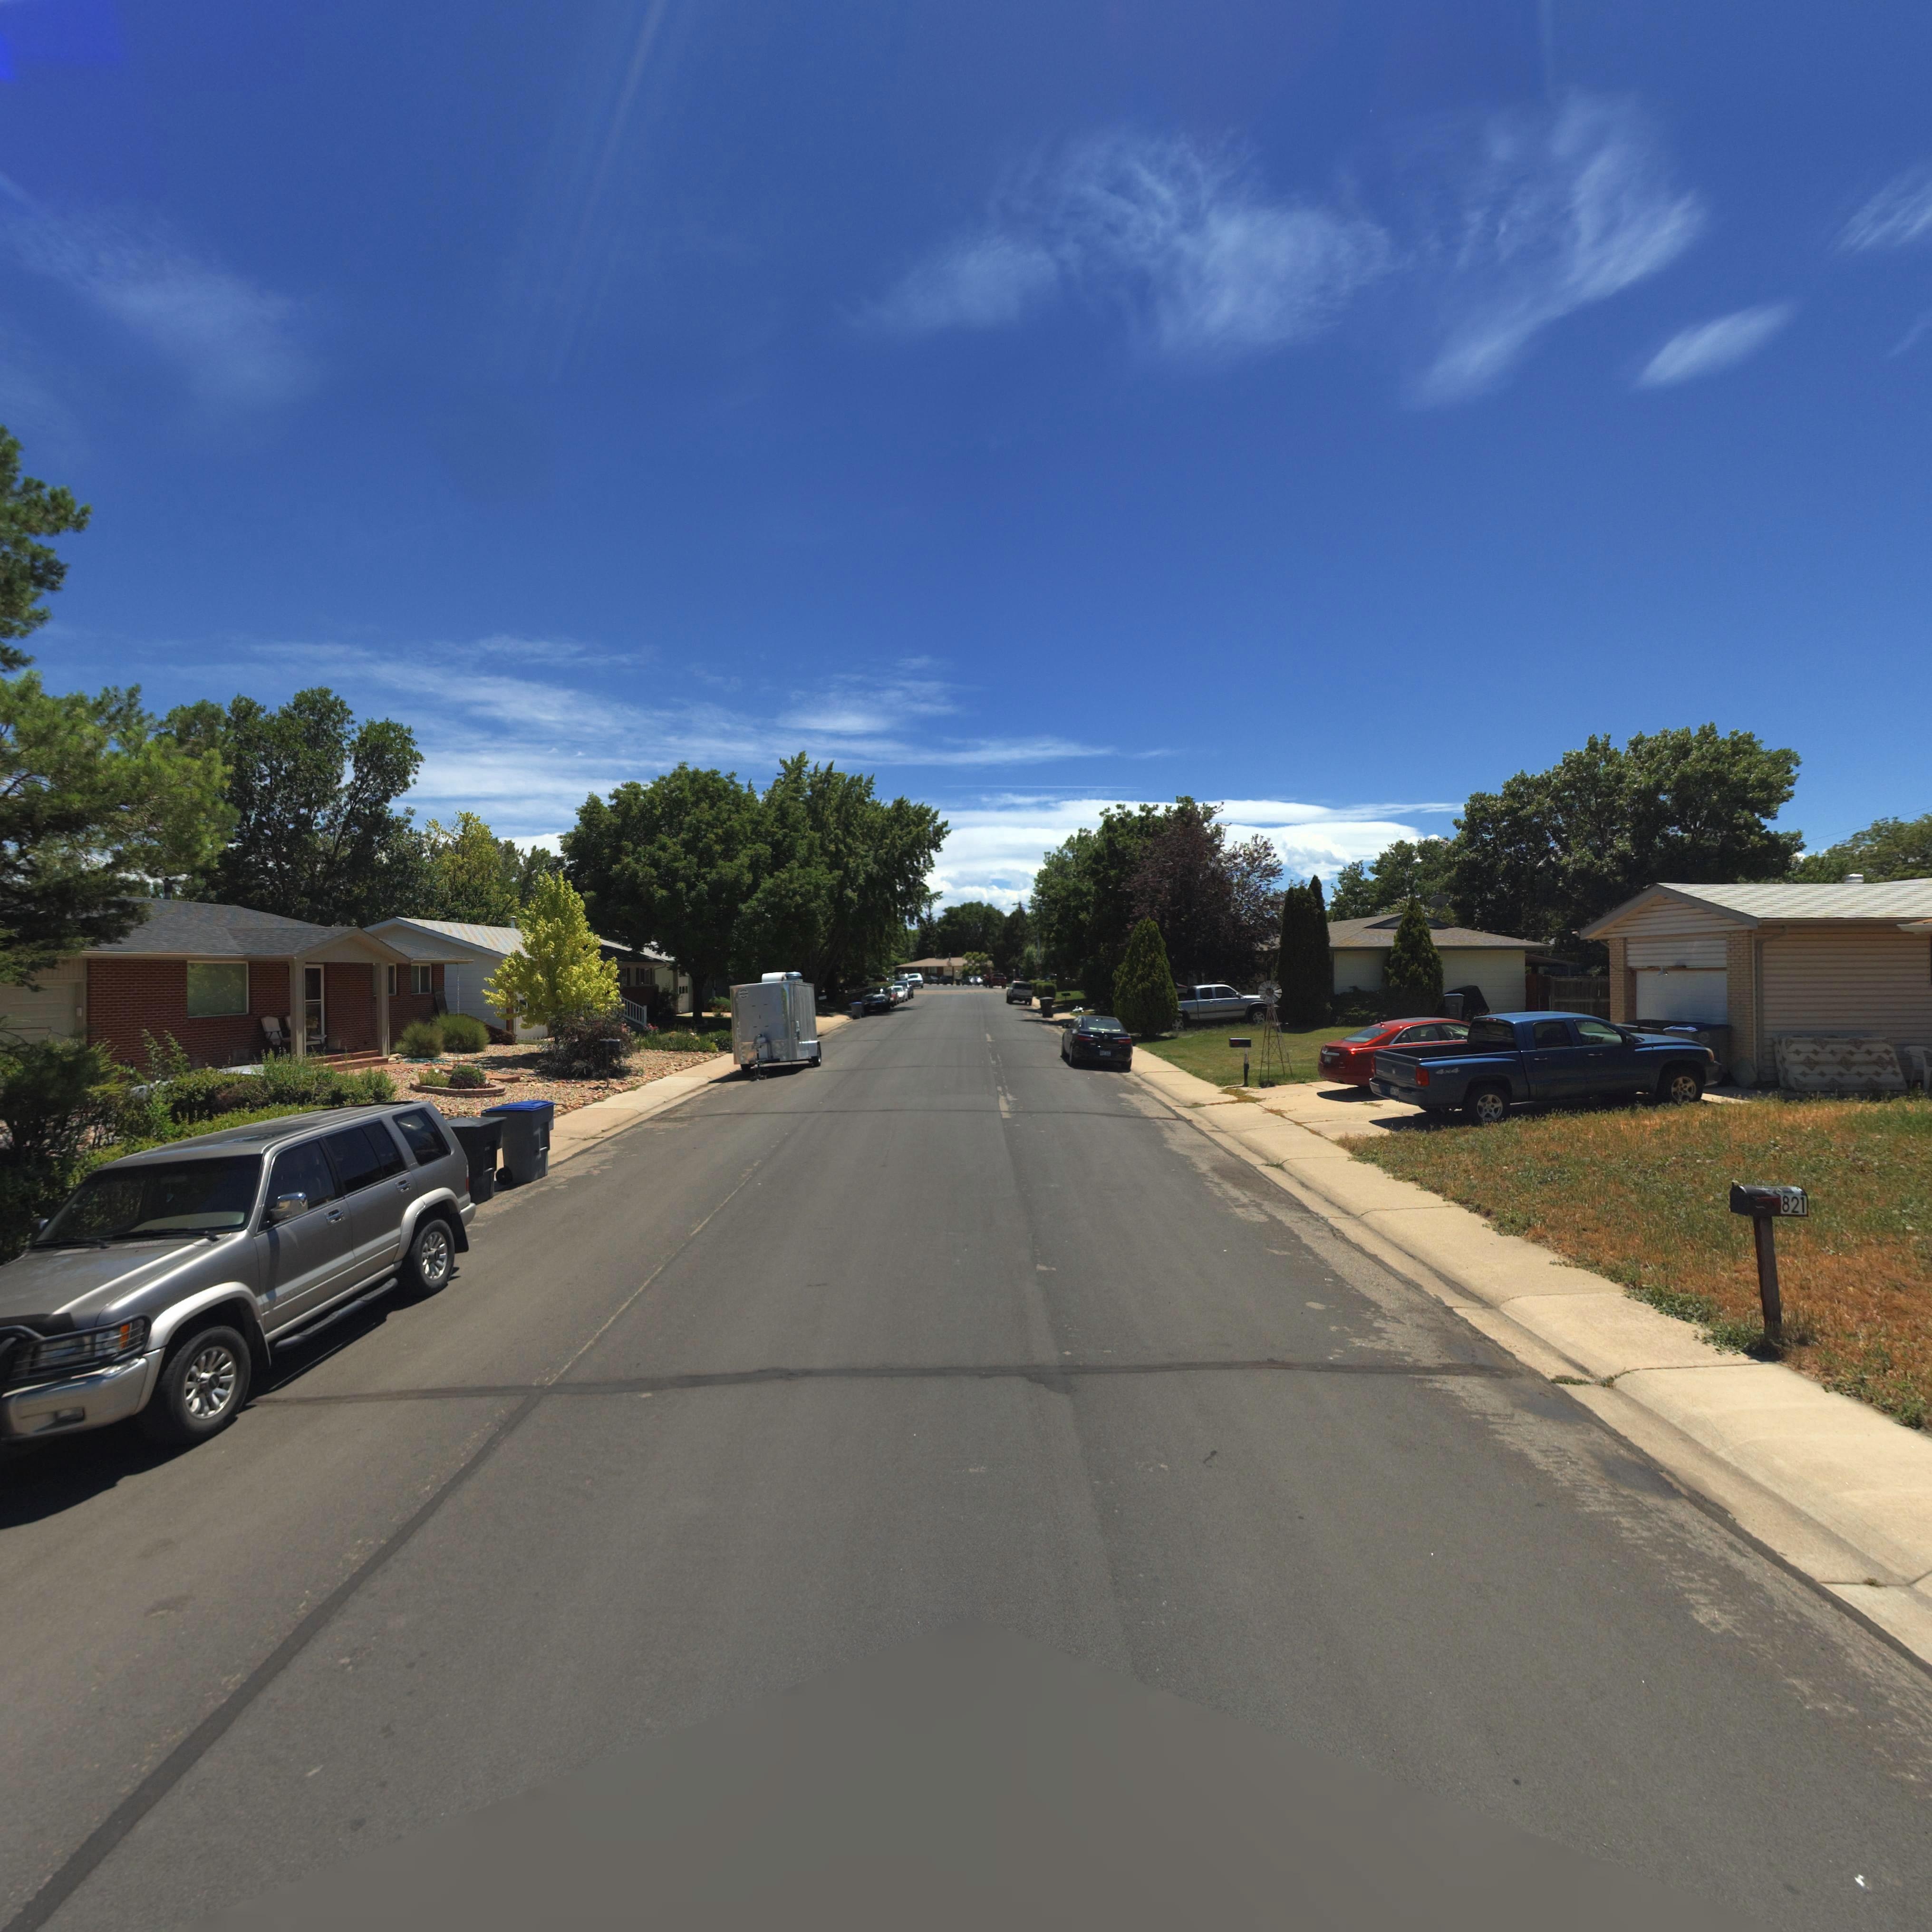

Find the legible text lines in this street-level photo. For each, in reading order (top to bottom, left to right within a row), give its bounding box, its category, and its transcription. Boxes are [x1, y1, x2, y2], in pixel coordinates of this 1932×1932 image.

[1782, 1195, 1805, 1214] StreetNumber: 821